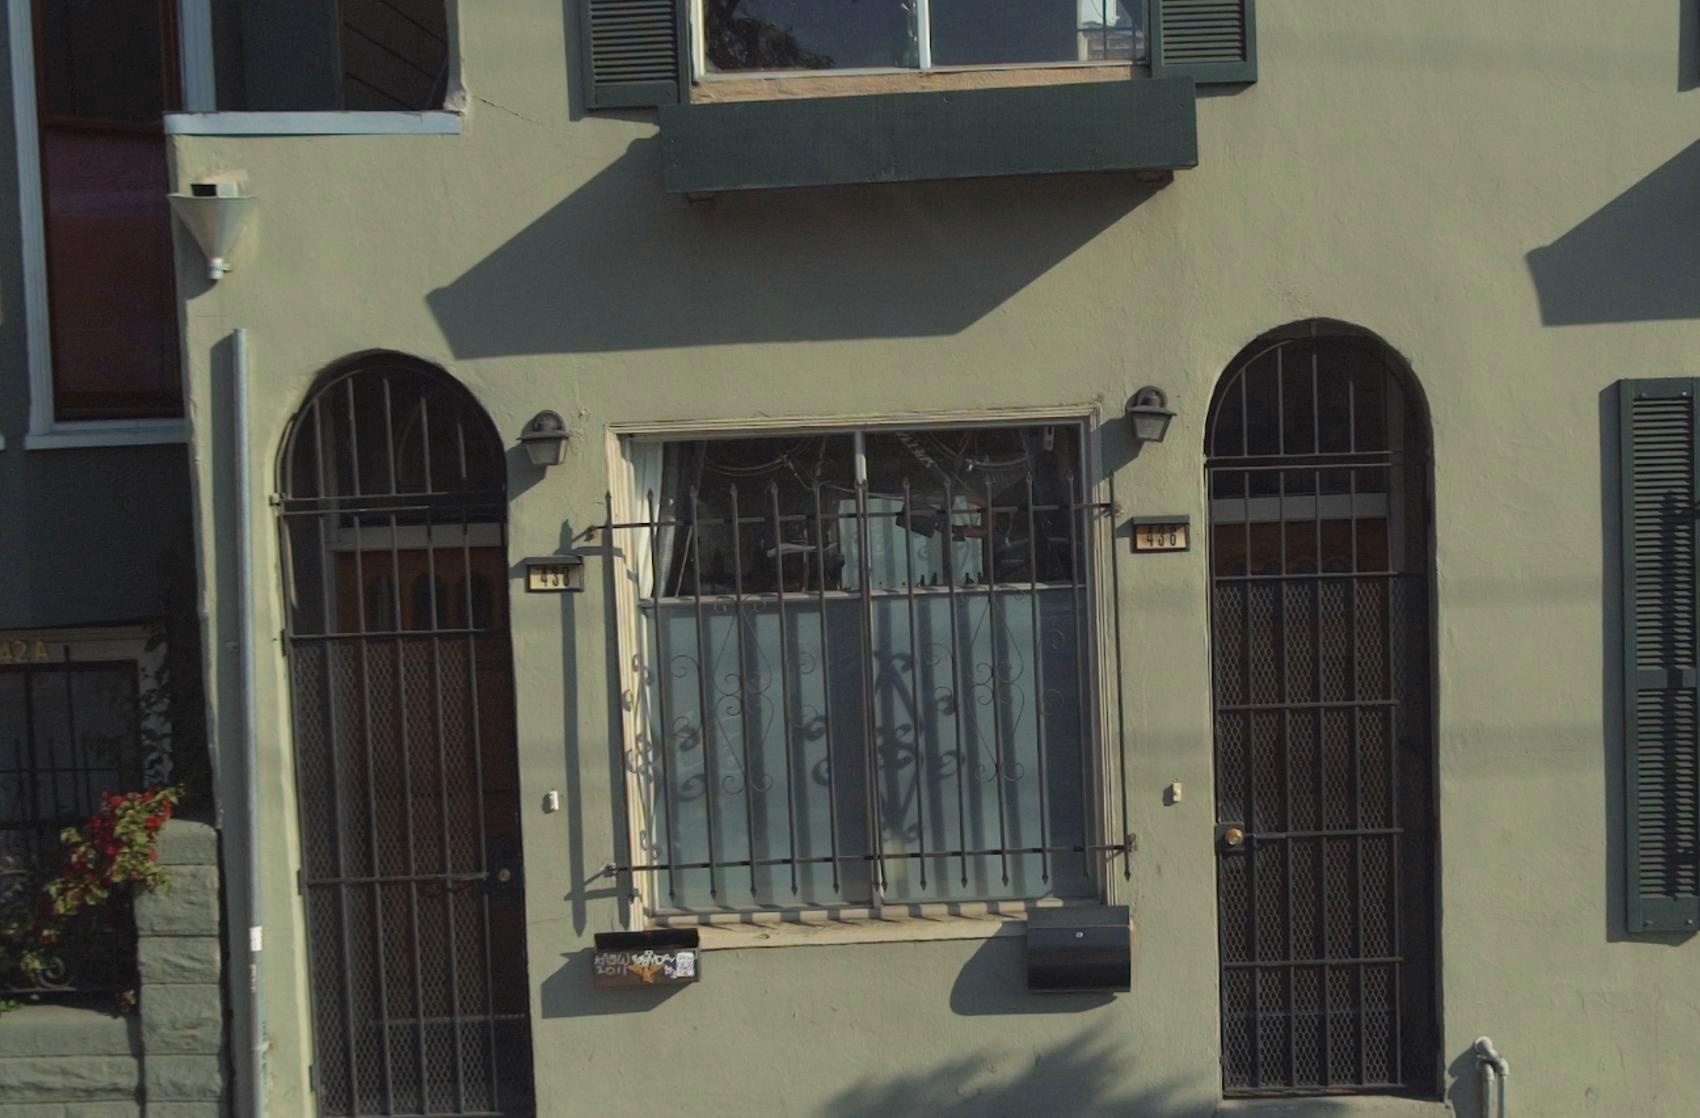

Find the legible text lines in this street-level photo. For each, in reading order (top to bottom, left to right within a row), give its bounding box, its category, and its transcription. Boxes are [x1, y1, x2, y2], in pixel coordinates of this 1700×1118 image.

[1146, 524, 1178, 549] StreetNumber: 436
[538, 563, 573, 589] StreetNumber: 438